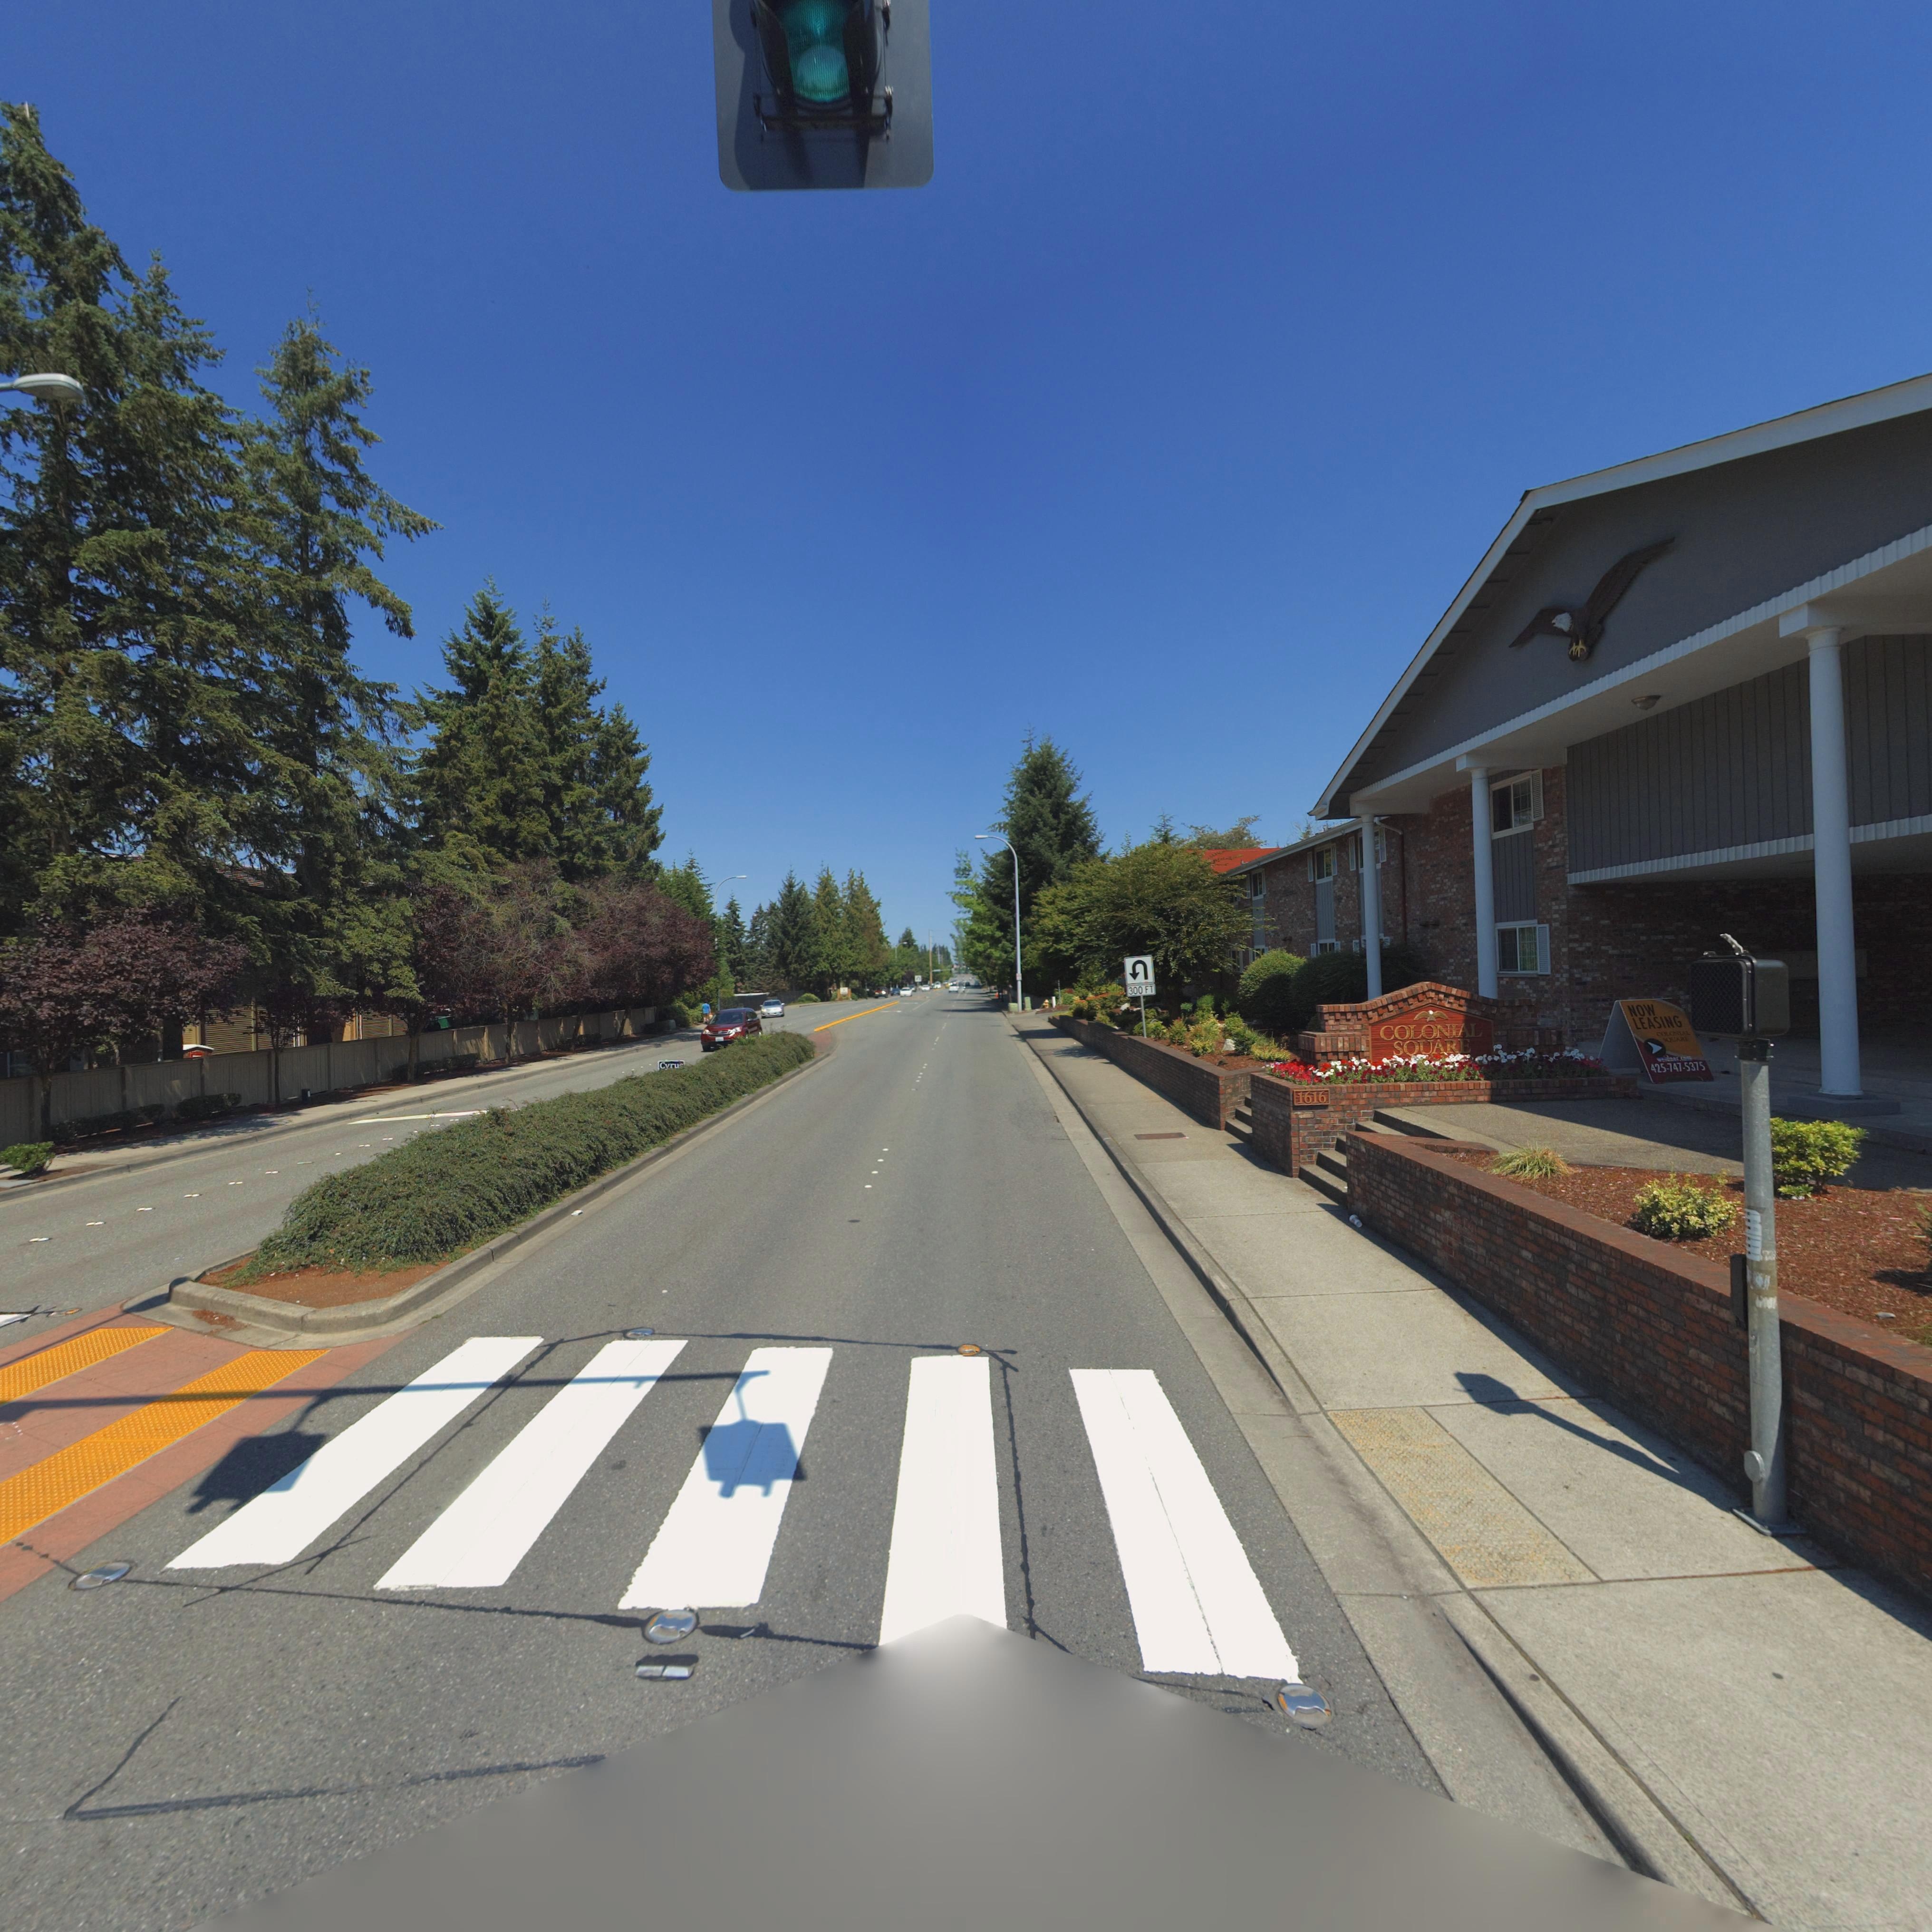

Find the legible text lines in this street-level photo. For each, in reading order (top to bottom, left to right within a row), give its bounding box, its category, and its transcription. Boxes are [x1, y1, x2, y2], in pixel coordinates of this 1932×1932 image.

[1393, 1039, 1470, 1057] None: S*UARE